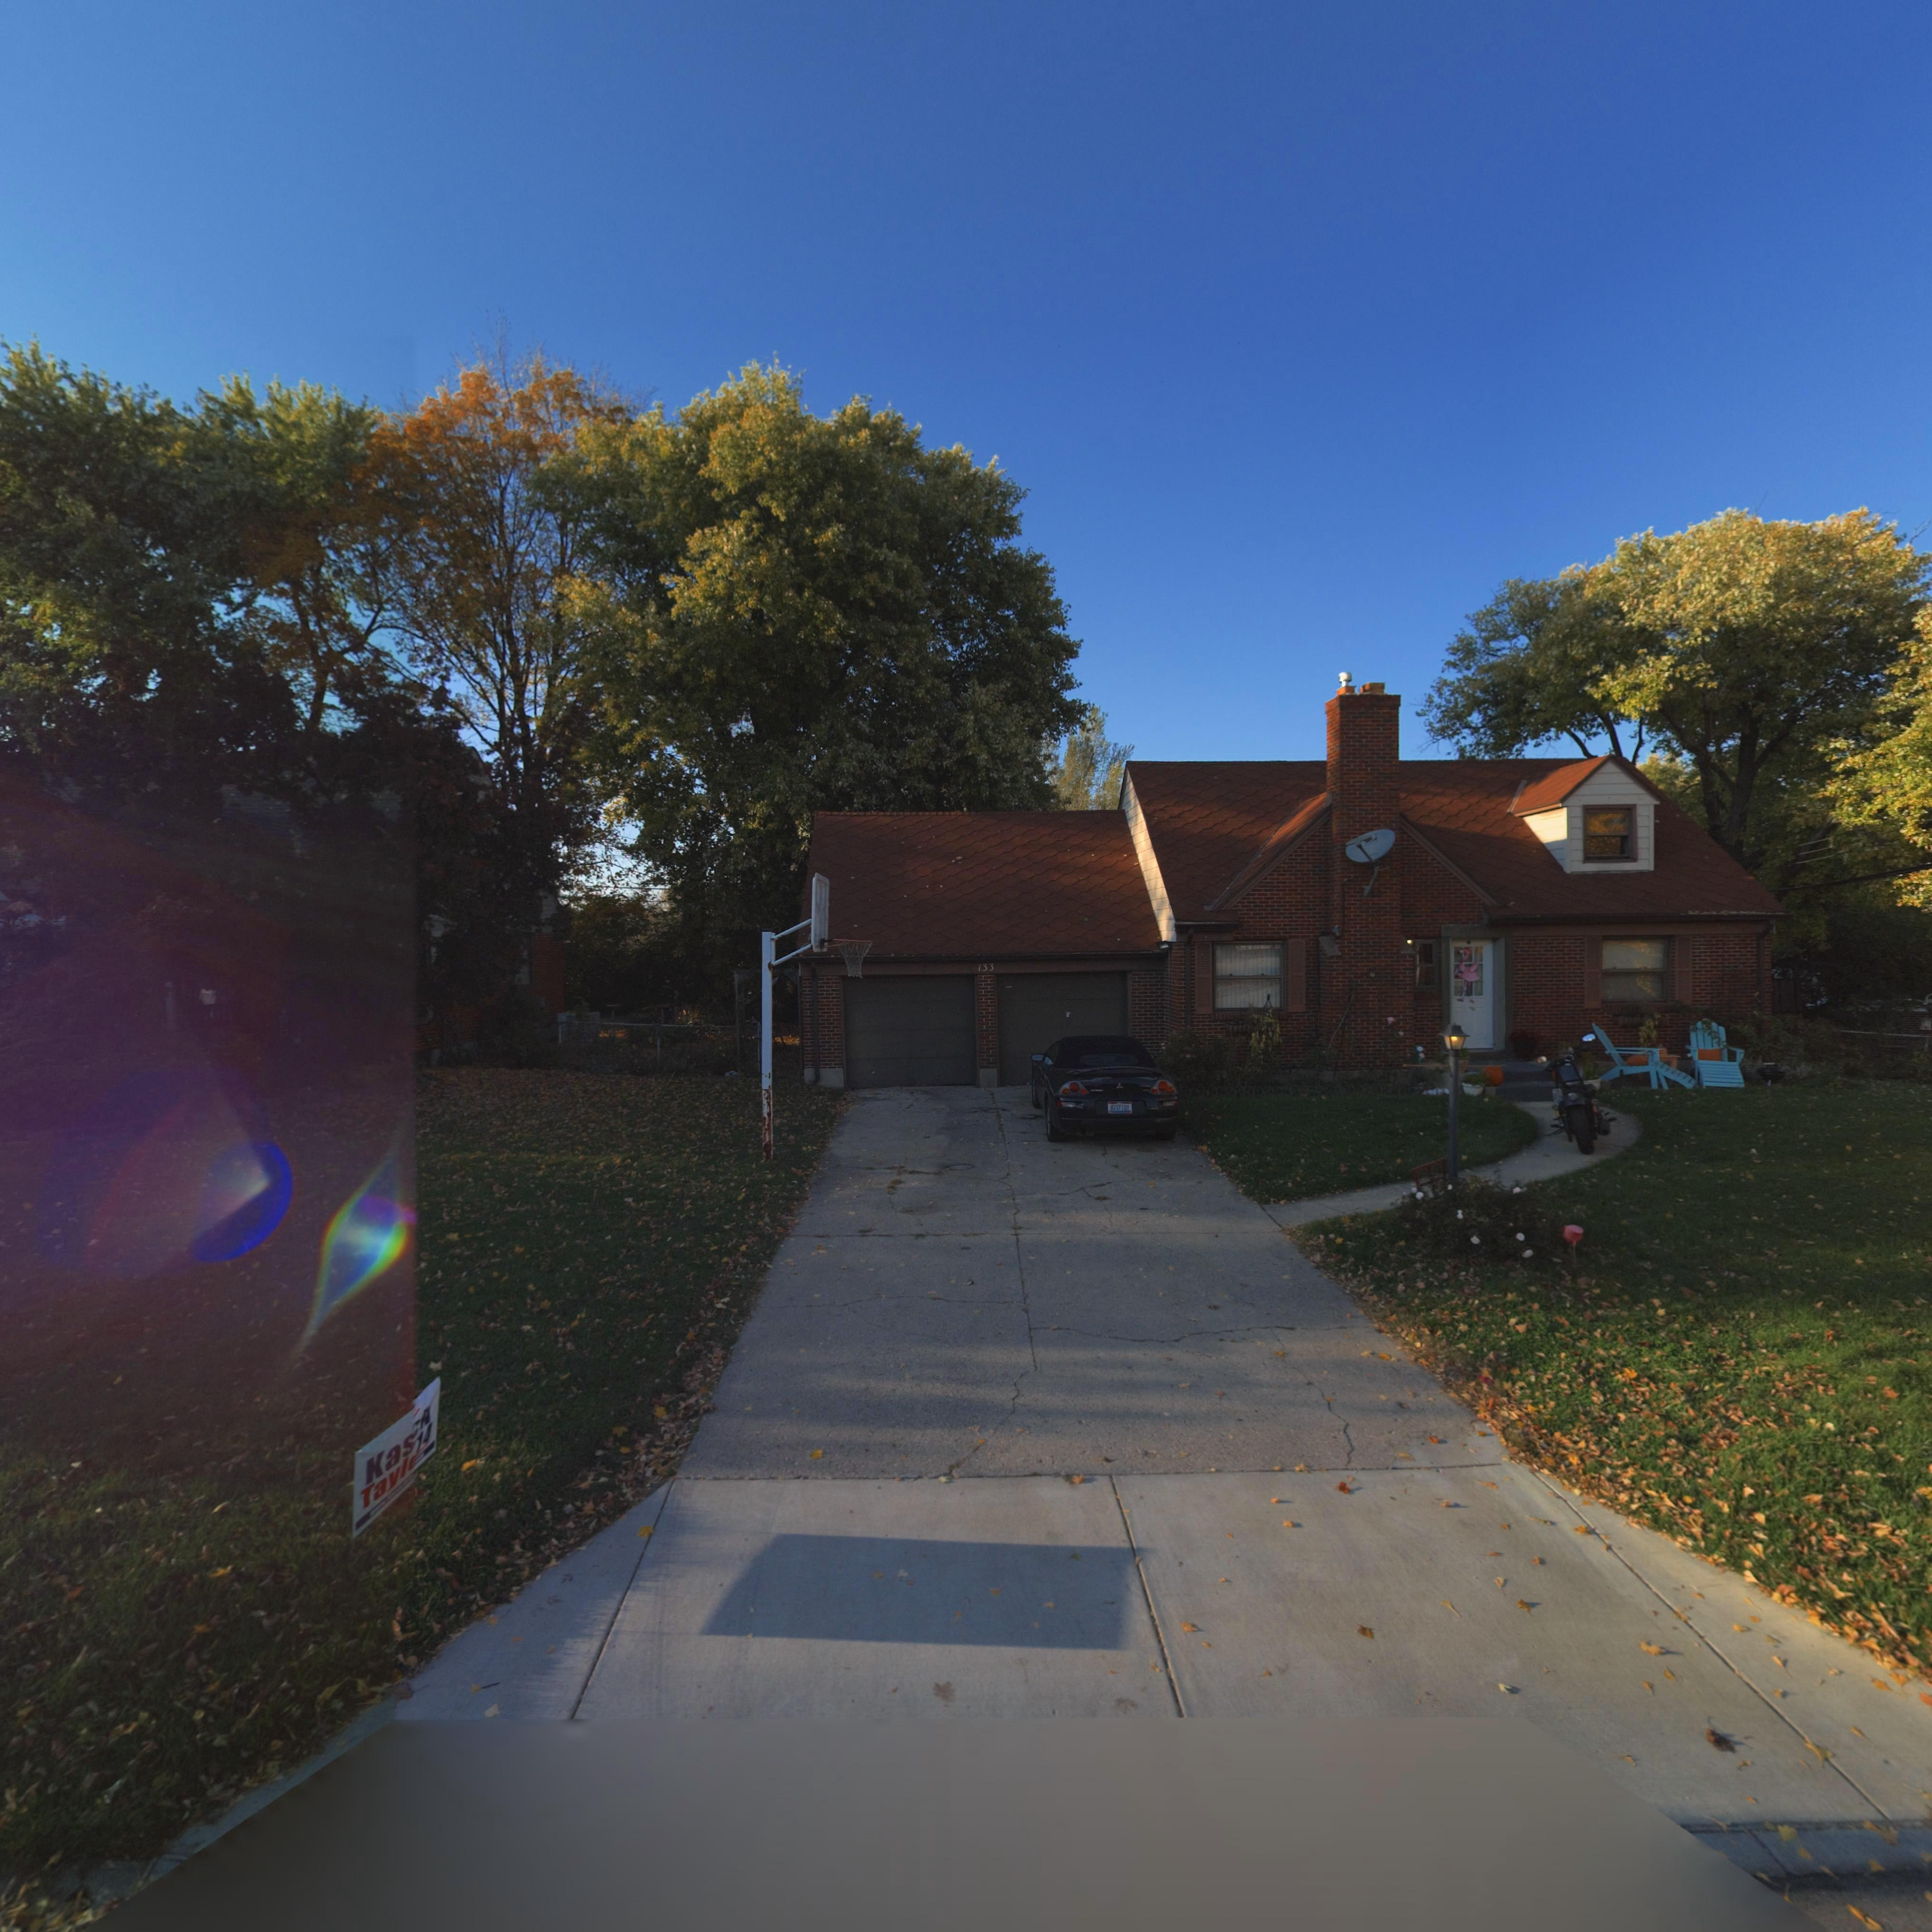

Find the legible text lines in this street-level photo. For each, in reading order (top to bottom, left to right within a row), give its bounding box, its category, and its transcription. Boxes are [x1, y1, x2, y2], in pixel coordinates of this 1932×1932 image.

[977, 963, 995, 972] StreetNumber: 133